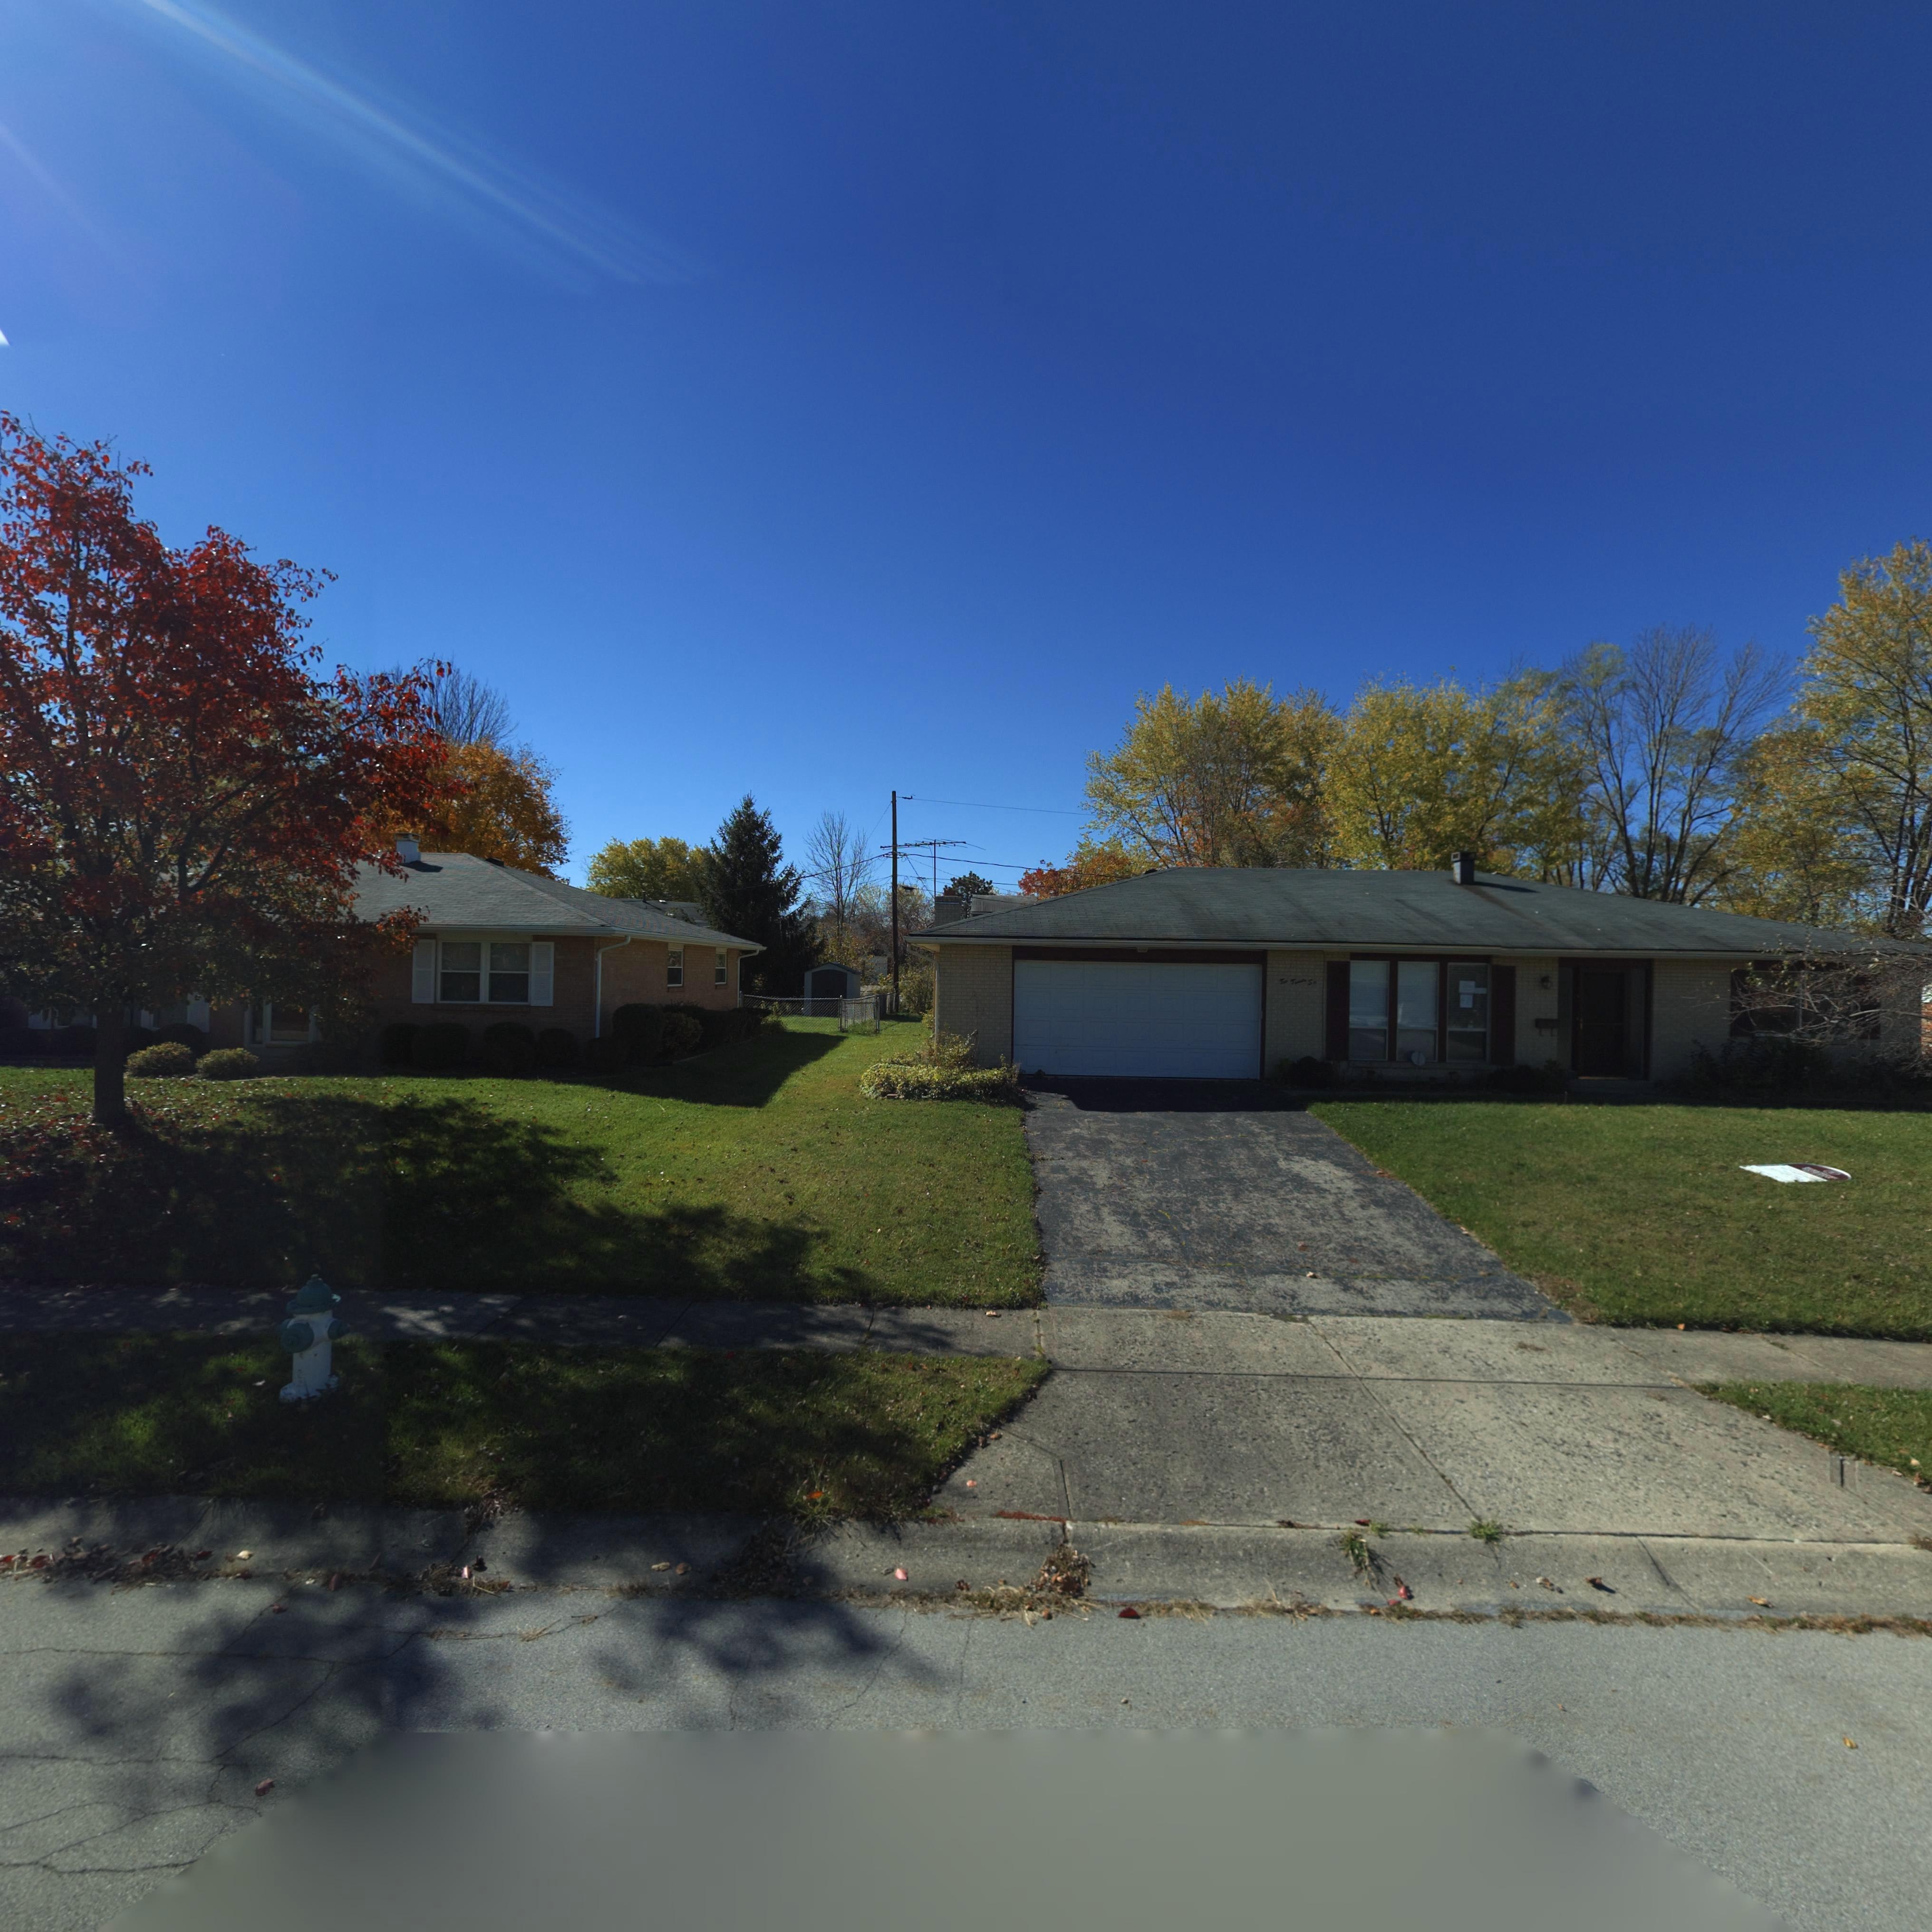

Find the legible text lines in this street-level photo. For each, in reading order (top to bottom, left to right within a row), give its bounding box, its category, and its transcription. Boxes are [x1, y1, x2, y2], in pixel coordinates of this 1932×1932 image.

[1279, 978, 1317, 985] StreetNumber: T** T***** S**